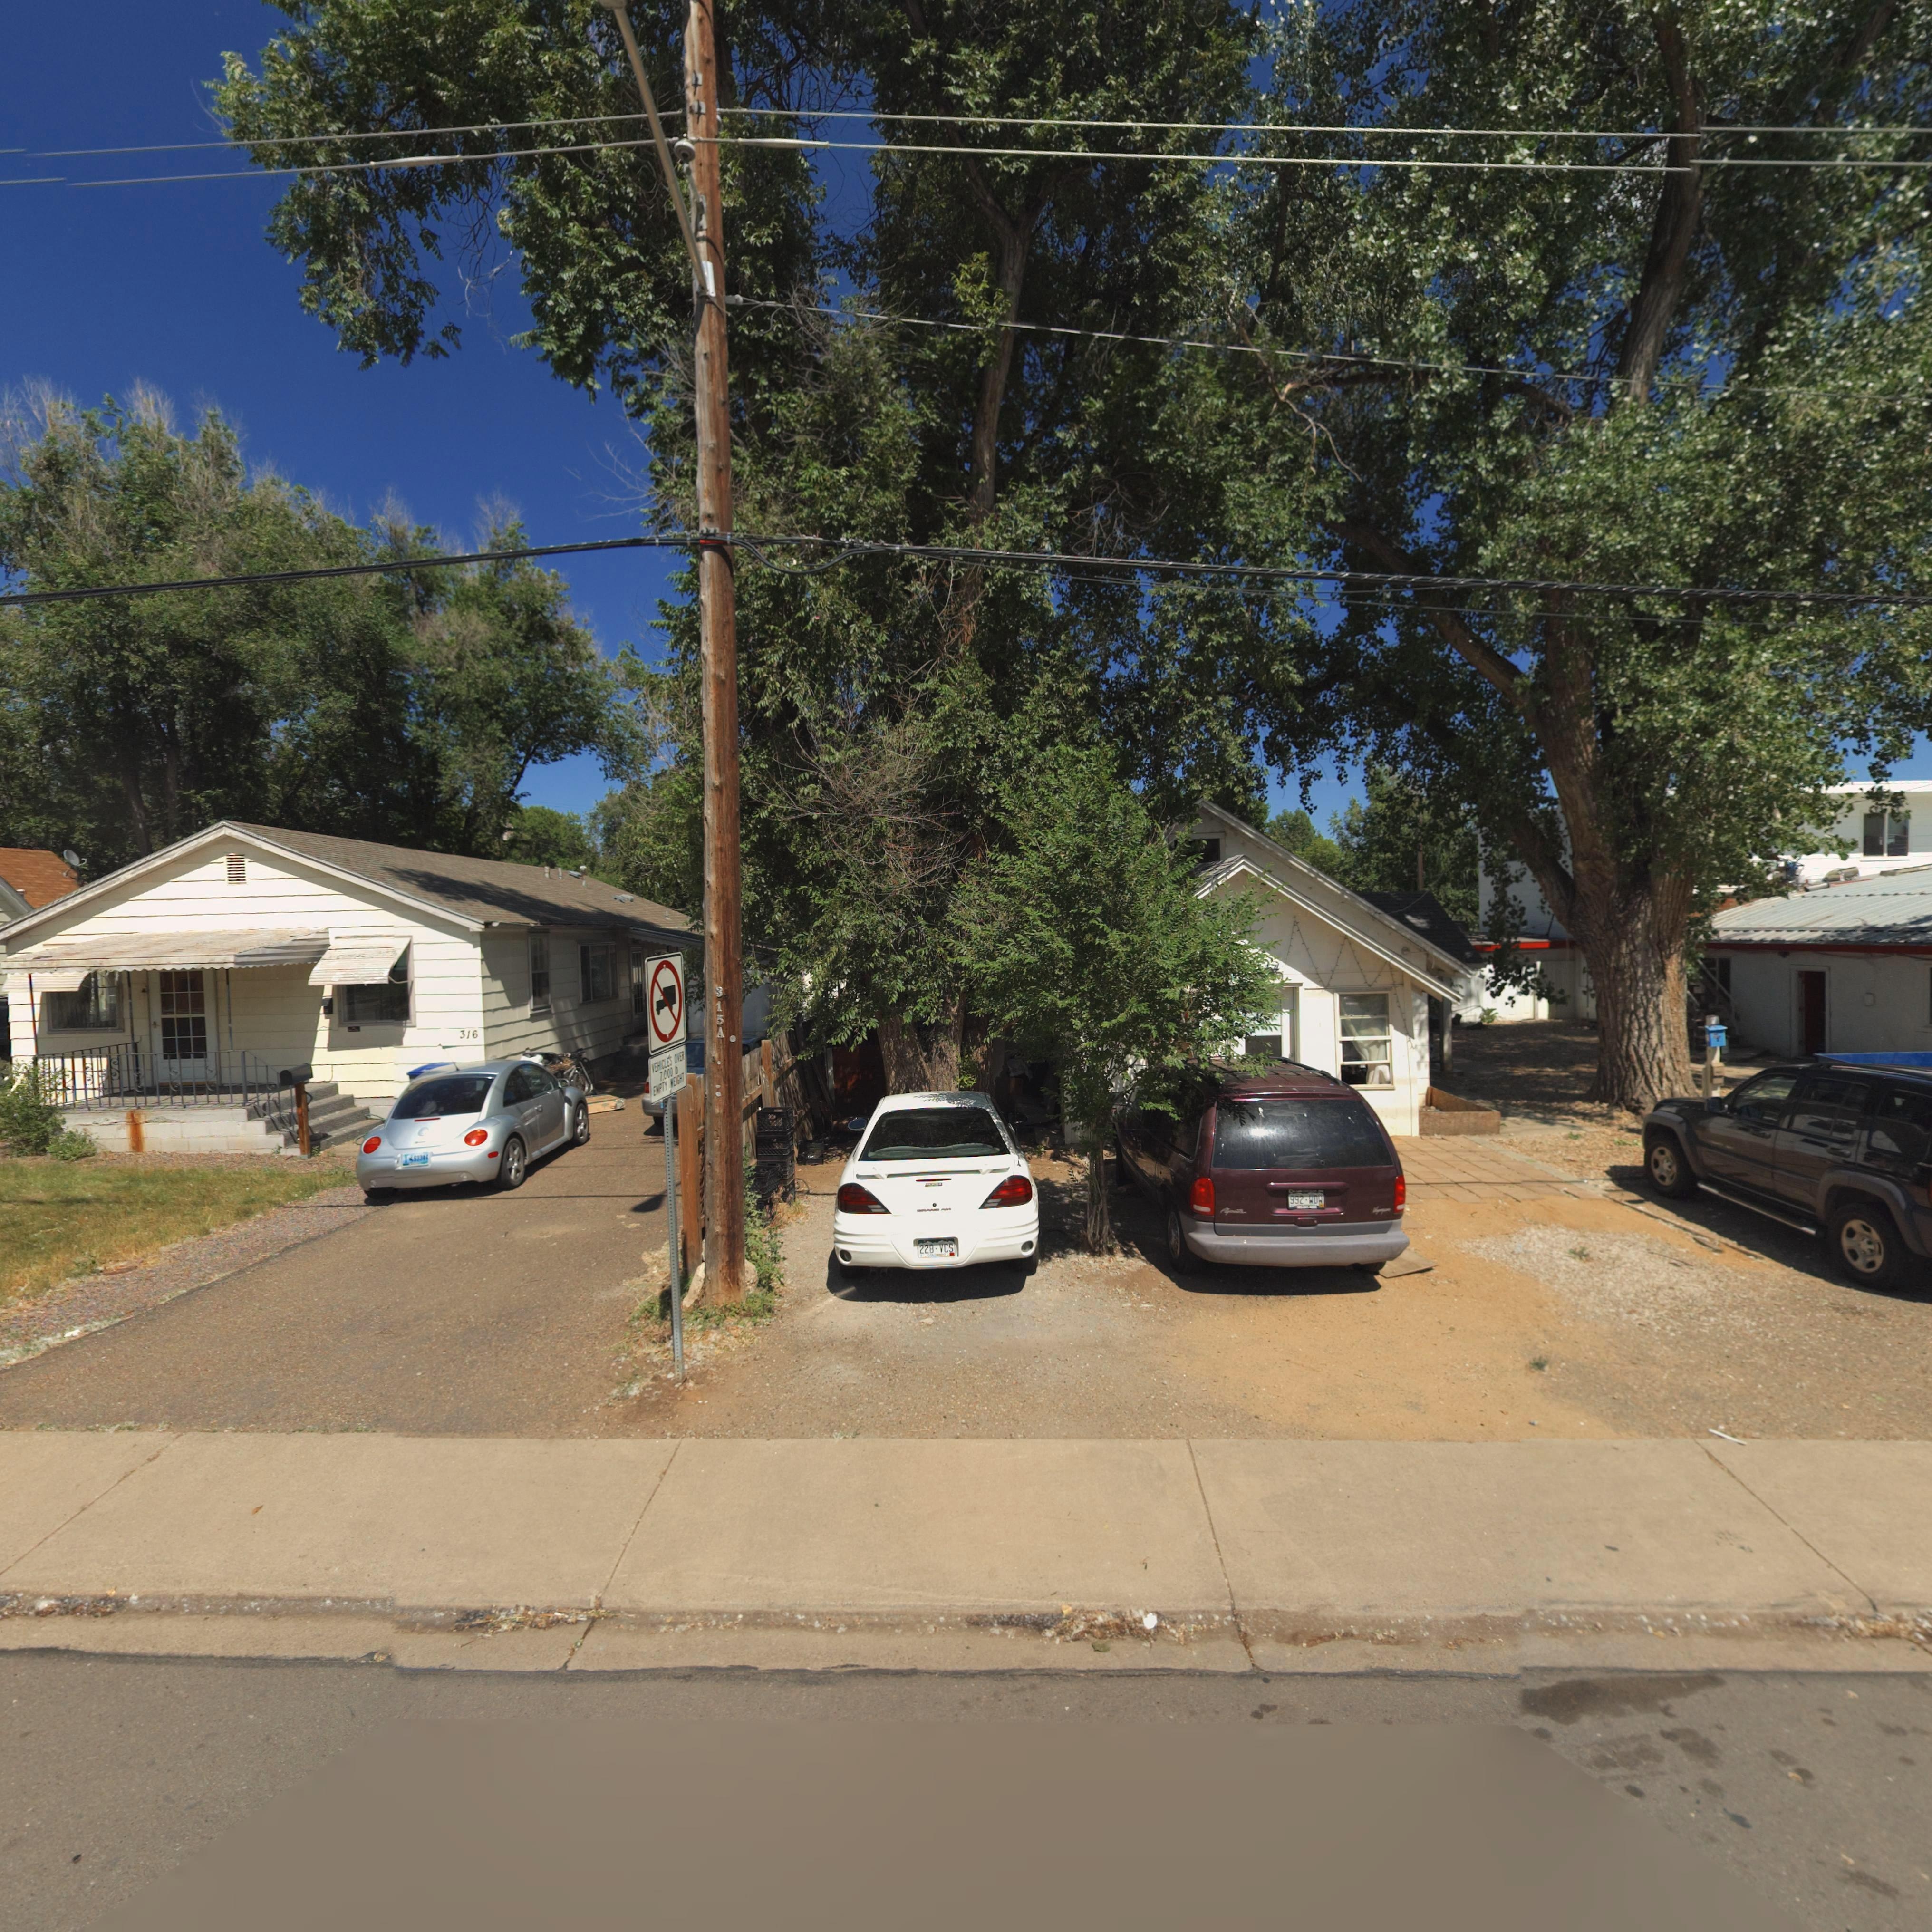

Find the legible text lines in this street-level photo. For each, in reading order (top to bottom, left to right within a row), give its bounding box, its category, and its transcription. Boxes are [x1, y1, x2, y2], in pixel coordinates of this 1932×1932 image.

[459, 1029, 478, 1039] StreetNumber: 316